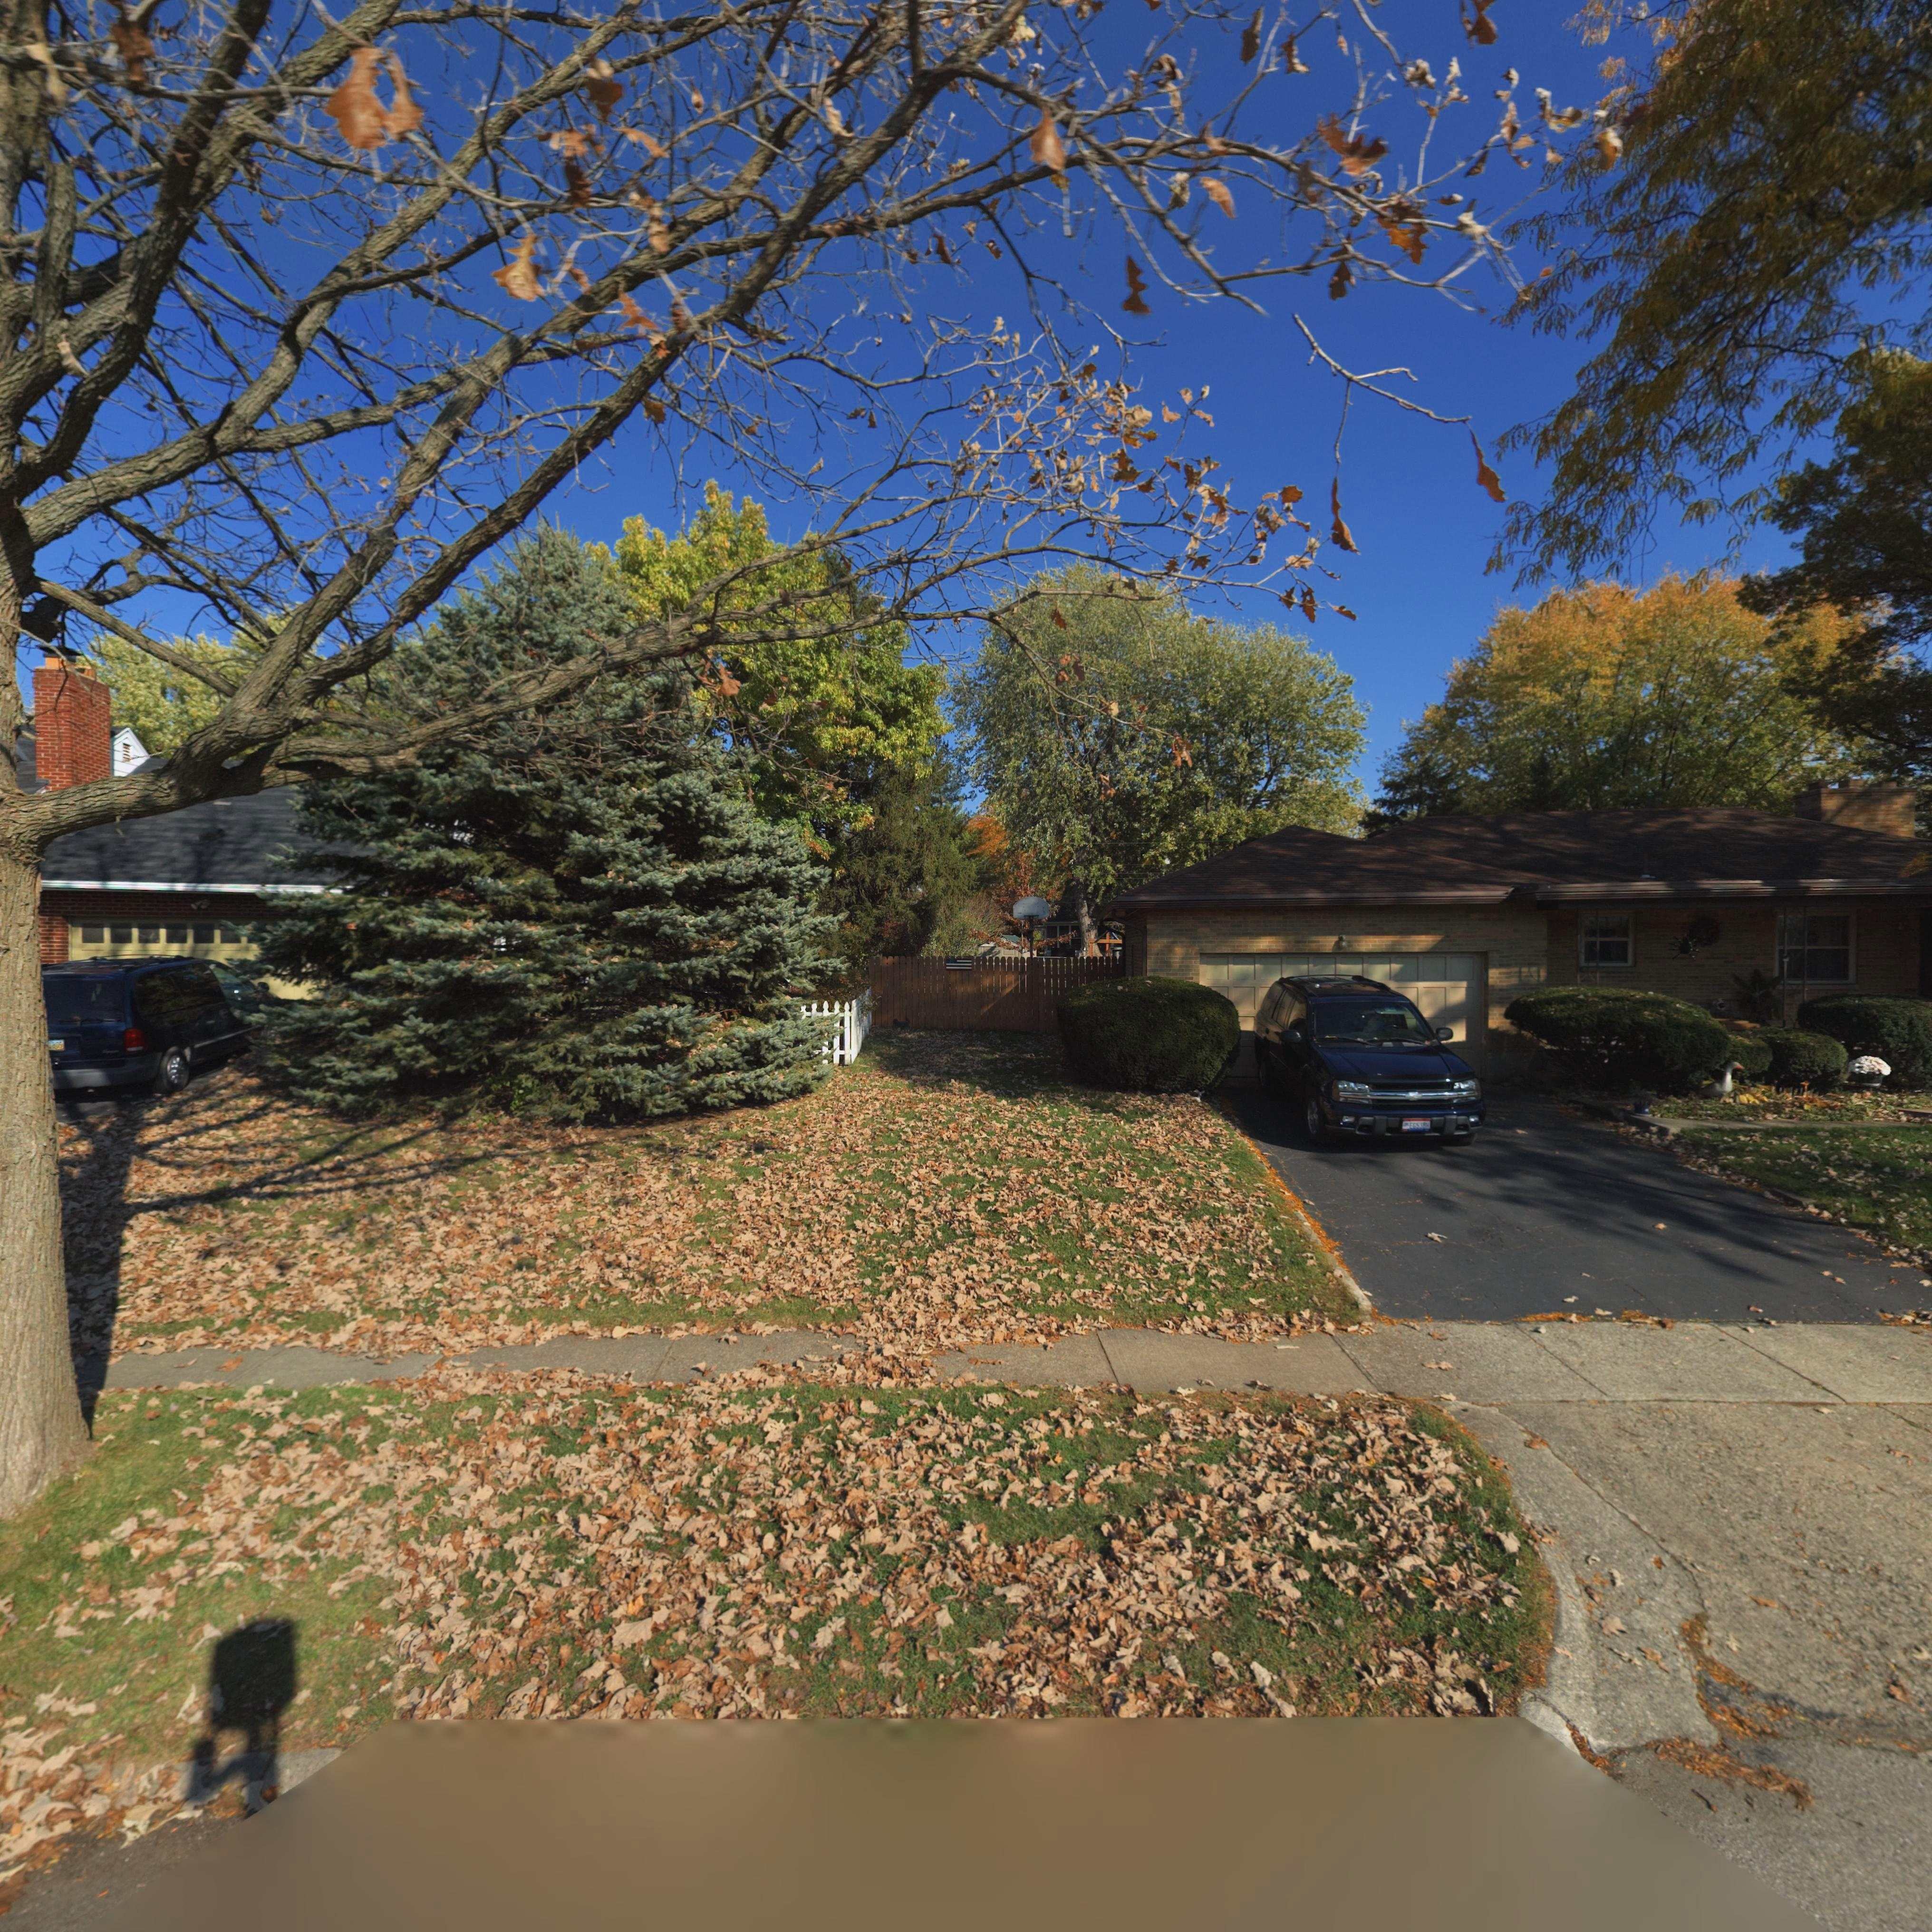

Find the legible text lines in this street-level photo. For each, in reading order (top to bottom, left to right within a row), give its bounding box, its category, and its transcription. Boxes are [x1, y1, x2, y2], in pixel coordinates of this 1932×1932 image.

[58, 1041, 63, 1048] None: 5
[1409, 1122, 1430, 1129] None: EG53BH